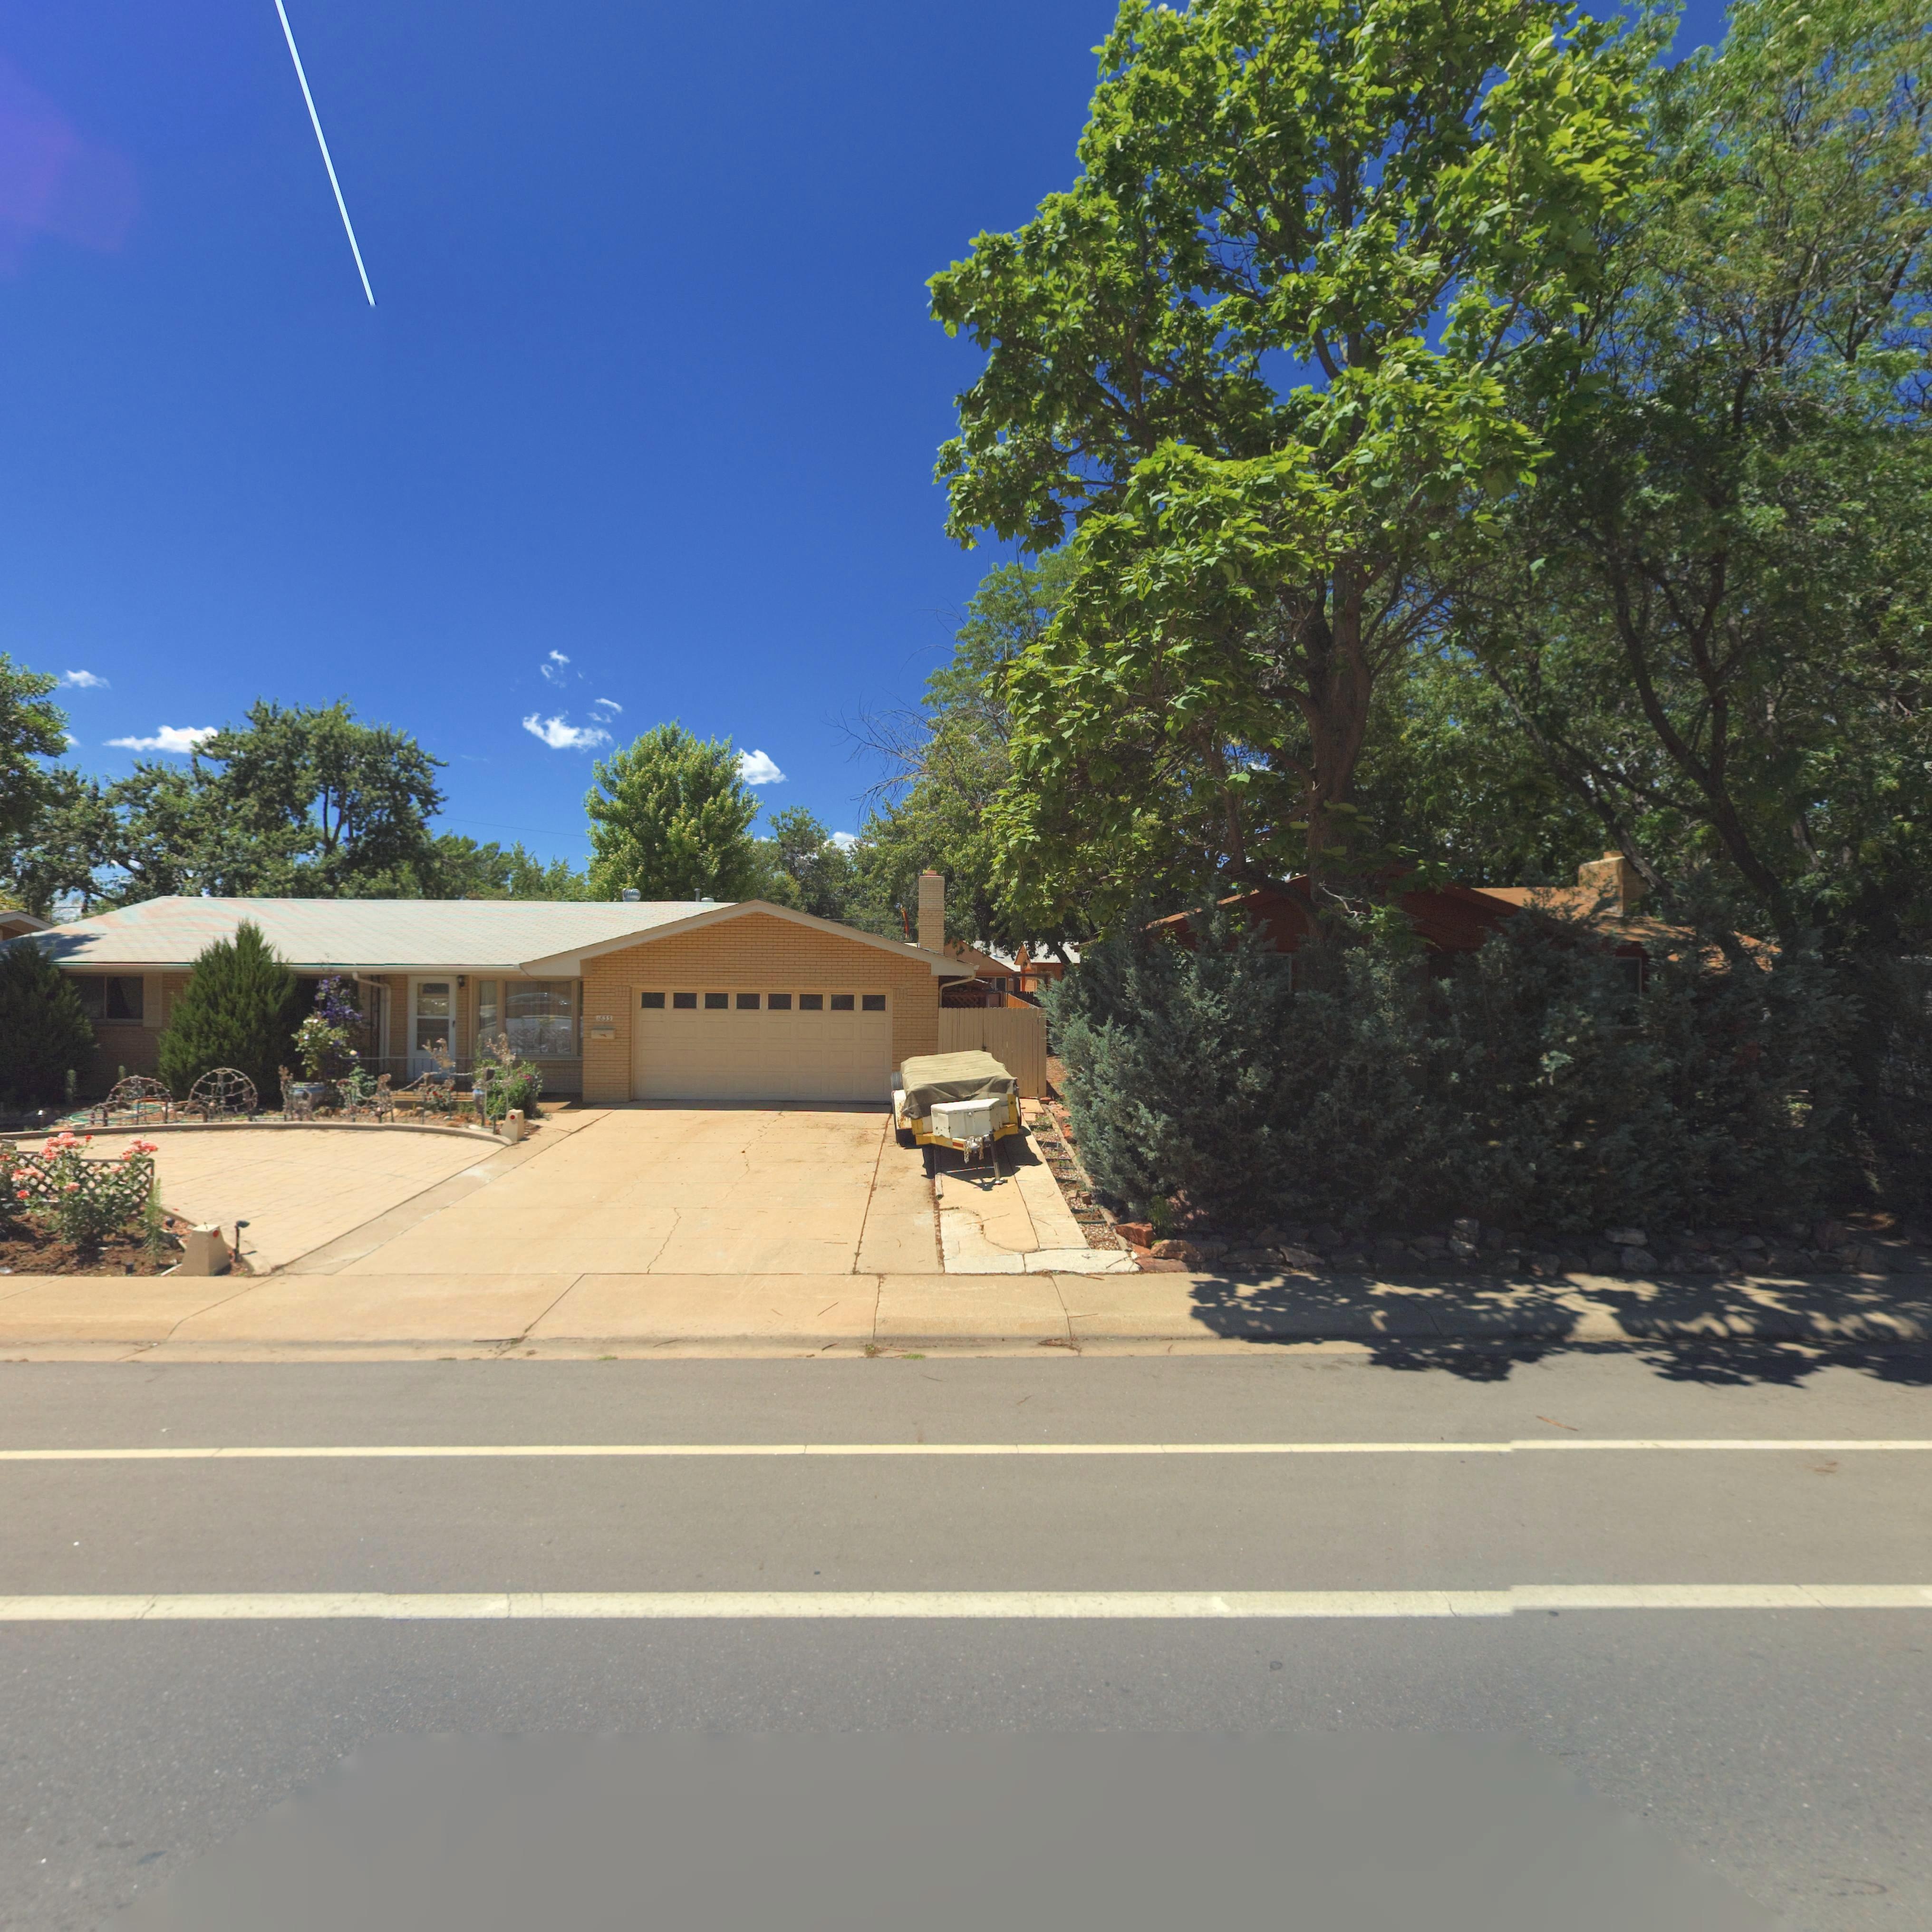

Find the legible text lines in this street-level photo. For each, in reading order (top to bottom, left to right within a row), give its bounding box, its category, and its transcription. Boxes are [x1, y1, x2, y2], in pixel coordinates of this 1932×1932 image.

[596, 1014, 612, 1021] StreetNumber: 1835